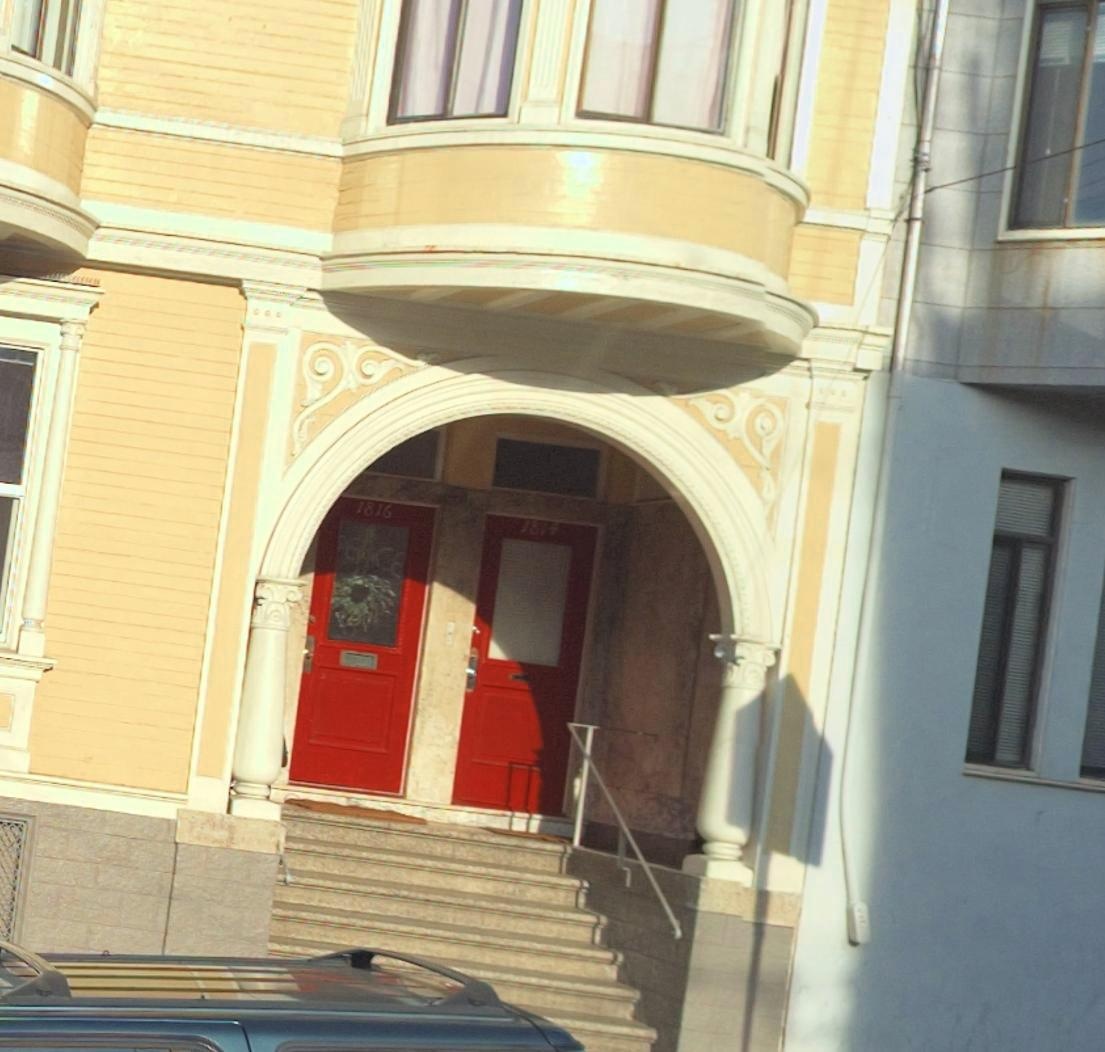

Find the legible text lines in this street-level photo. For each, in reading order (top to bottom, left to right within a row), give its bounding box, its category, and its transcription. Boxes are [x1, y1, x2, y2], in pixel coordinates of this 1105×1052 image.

[351, 496, 399, 521] StreetNumber: 1816
[517, 516, 564, 539] StreetNumber: 1814
[342, 533, 410, 582] None: EACE